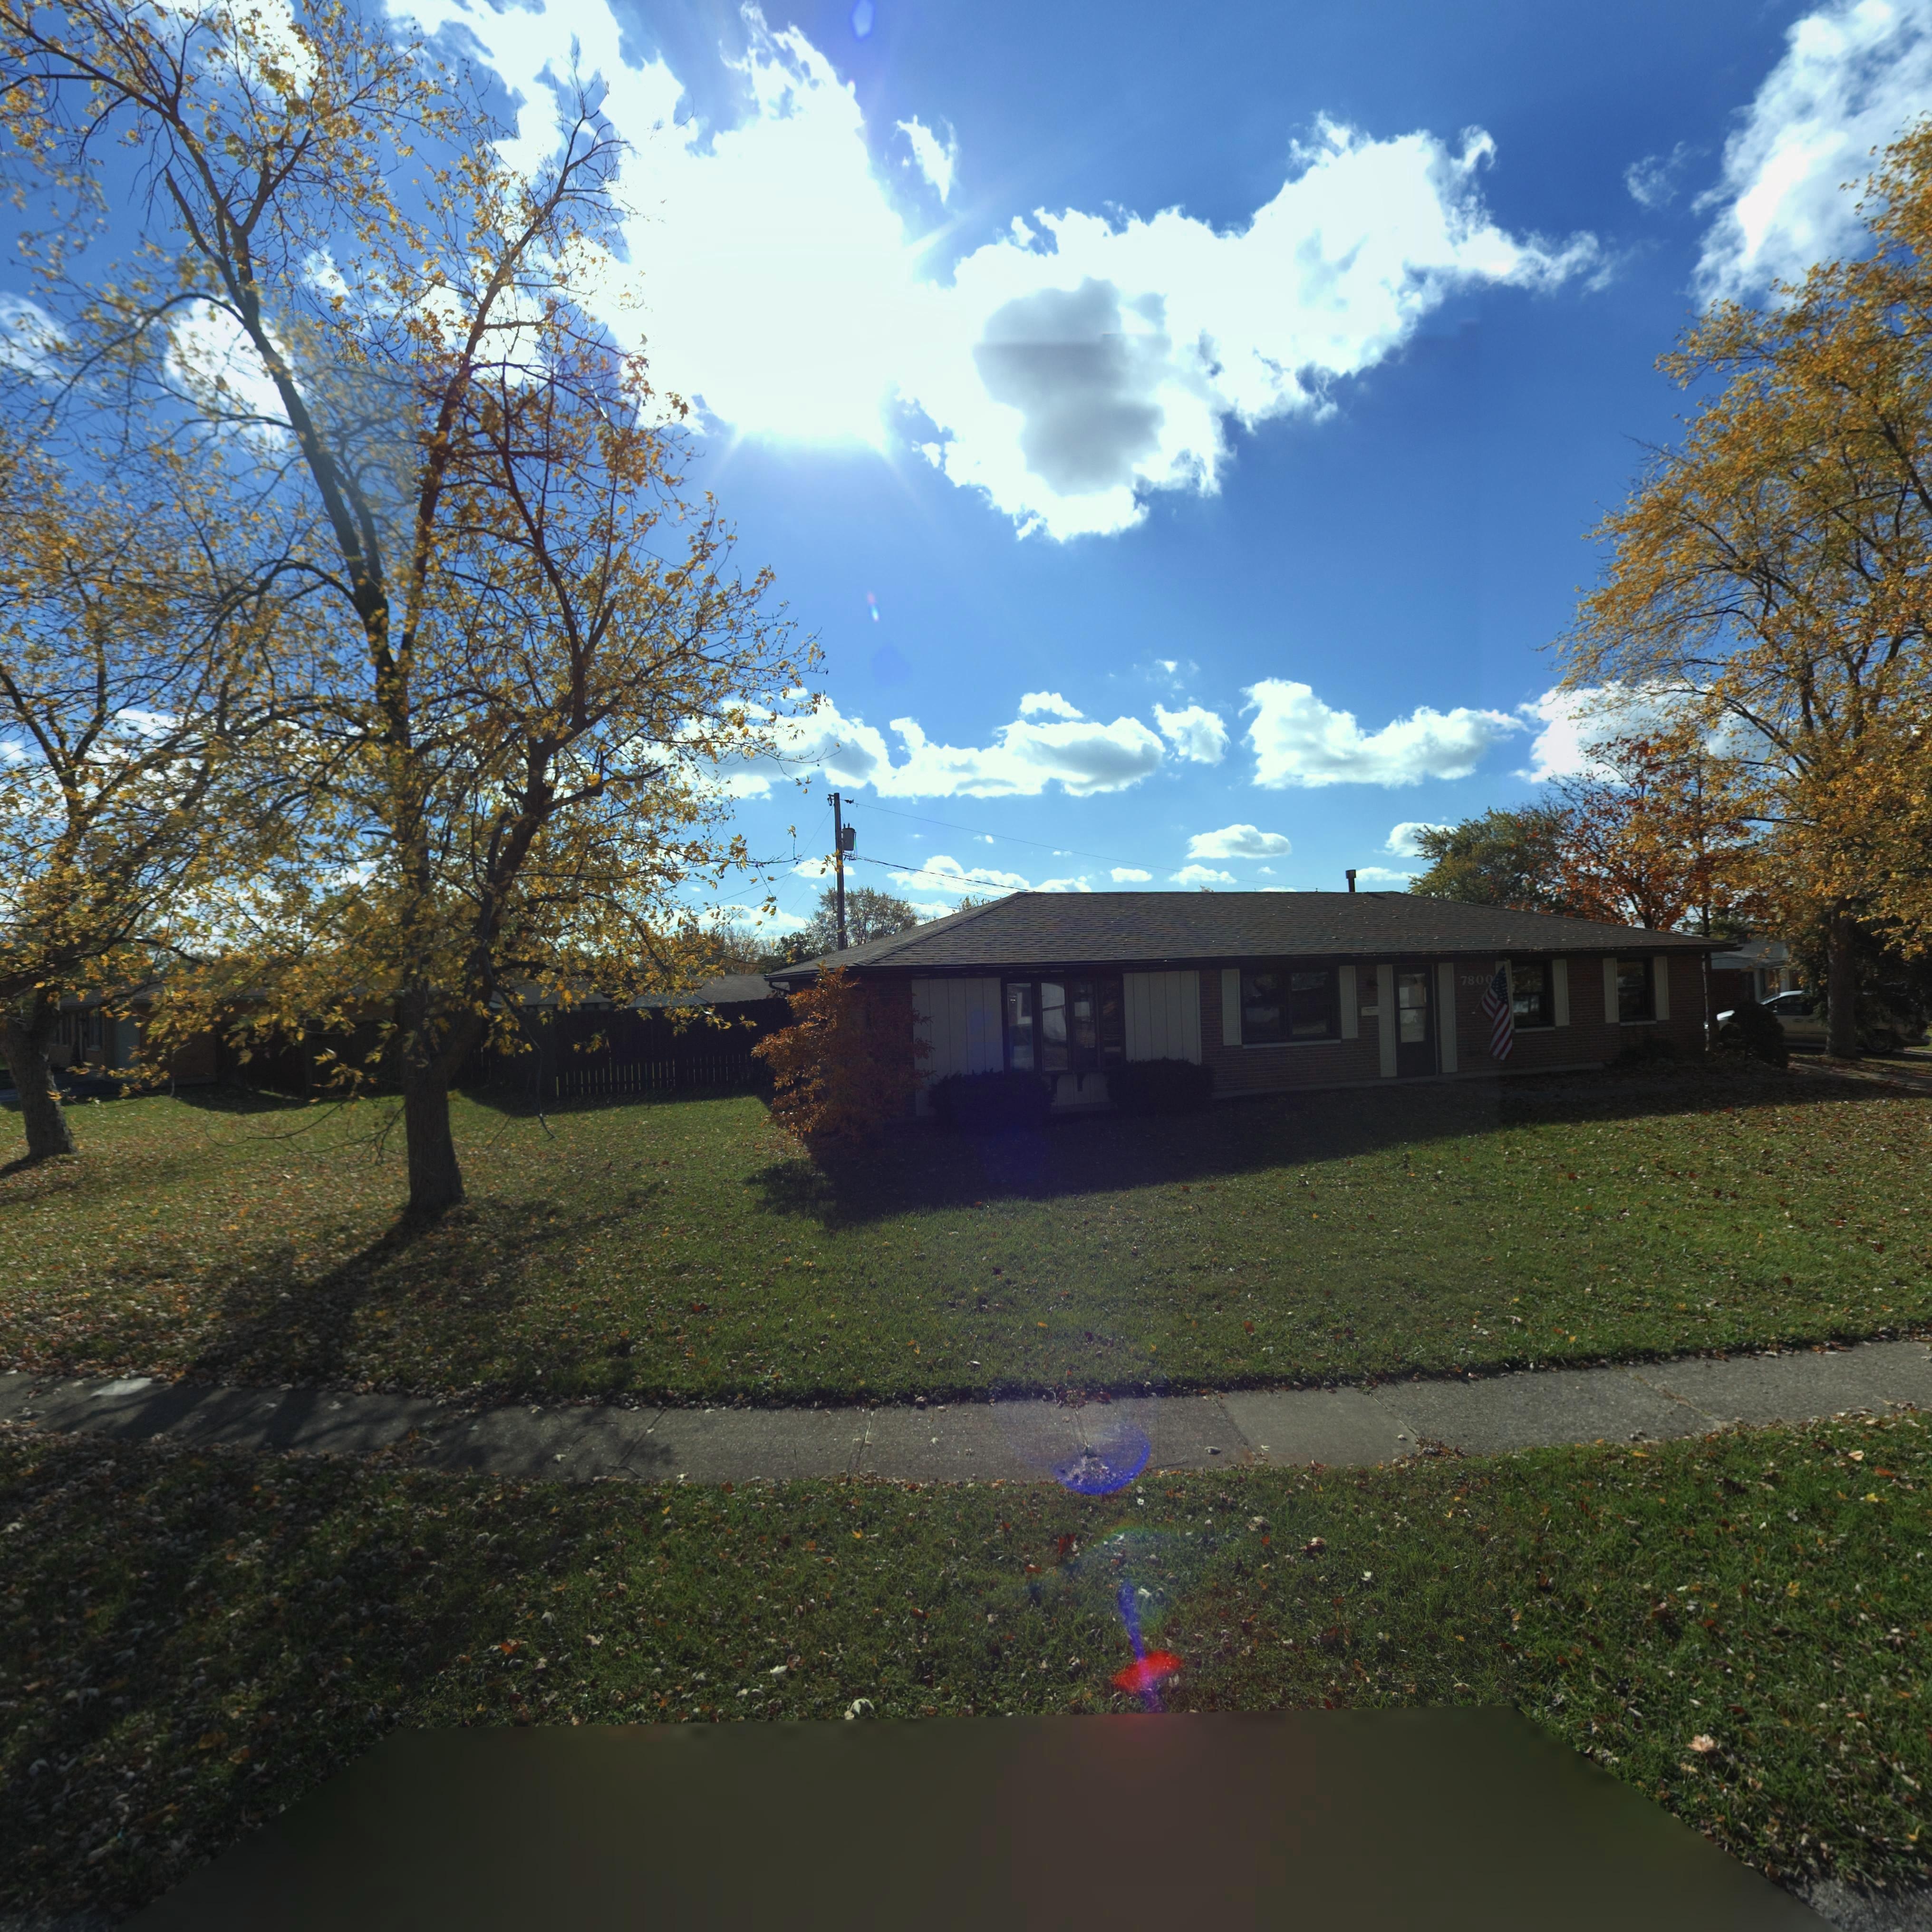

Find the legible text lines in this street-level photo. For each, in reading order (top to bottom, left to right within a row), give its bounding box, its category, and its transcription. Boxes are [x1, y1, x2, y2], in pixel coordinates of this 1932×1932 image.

[1460, 974, 1494, 986] StreetNumber: 7800